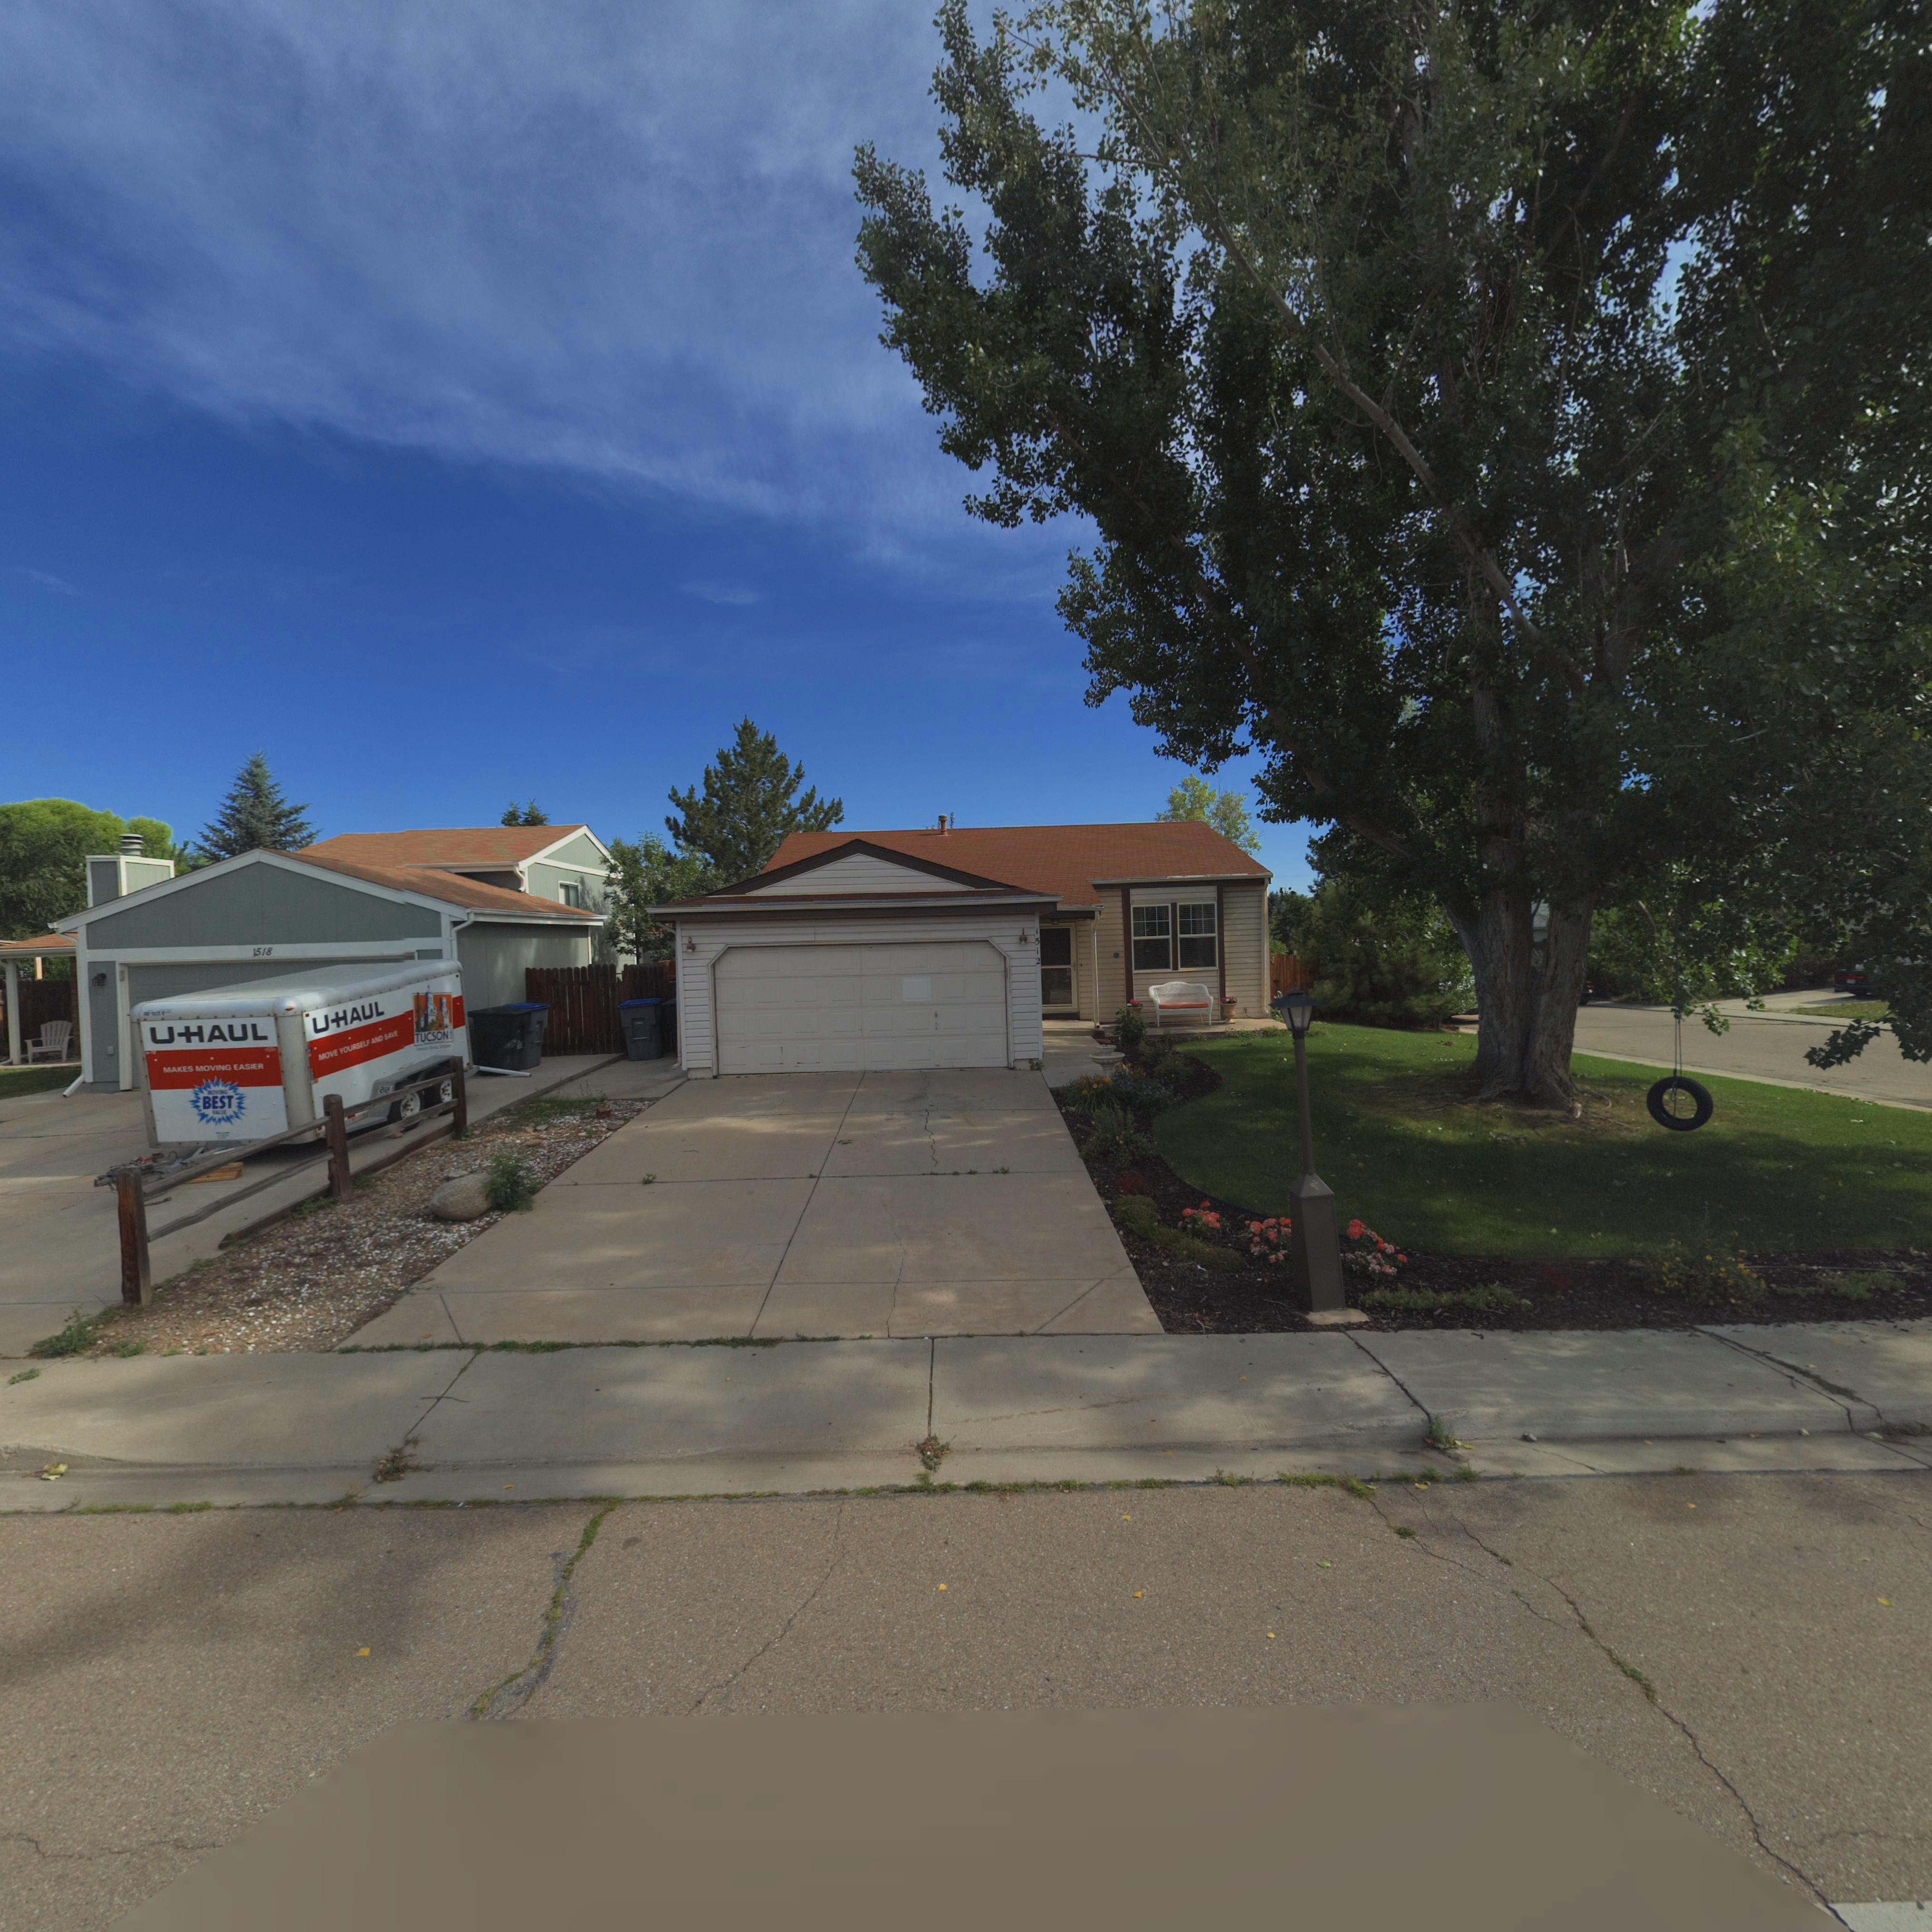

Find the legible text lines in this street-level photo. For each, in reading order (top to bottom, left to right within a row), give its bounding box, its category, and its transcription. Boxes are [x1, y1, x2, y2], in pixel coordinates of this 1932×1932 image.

[252, 947, 273, 956] StreetNumber: 1518
[1034, 927, 1041, 966] StreetNumber: 1512